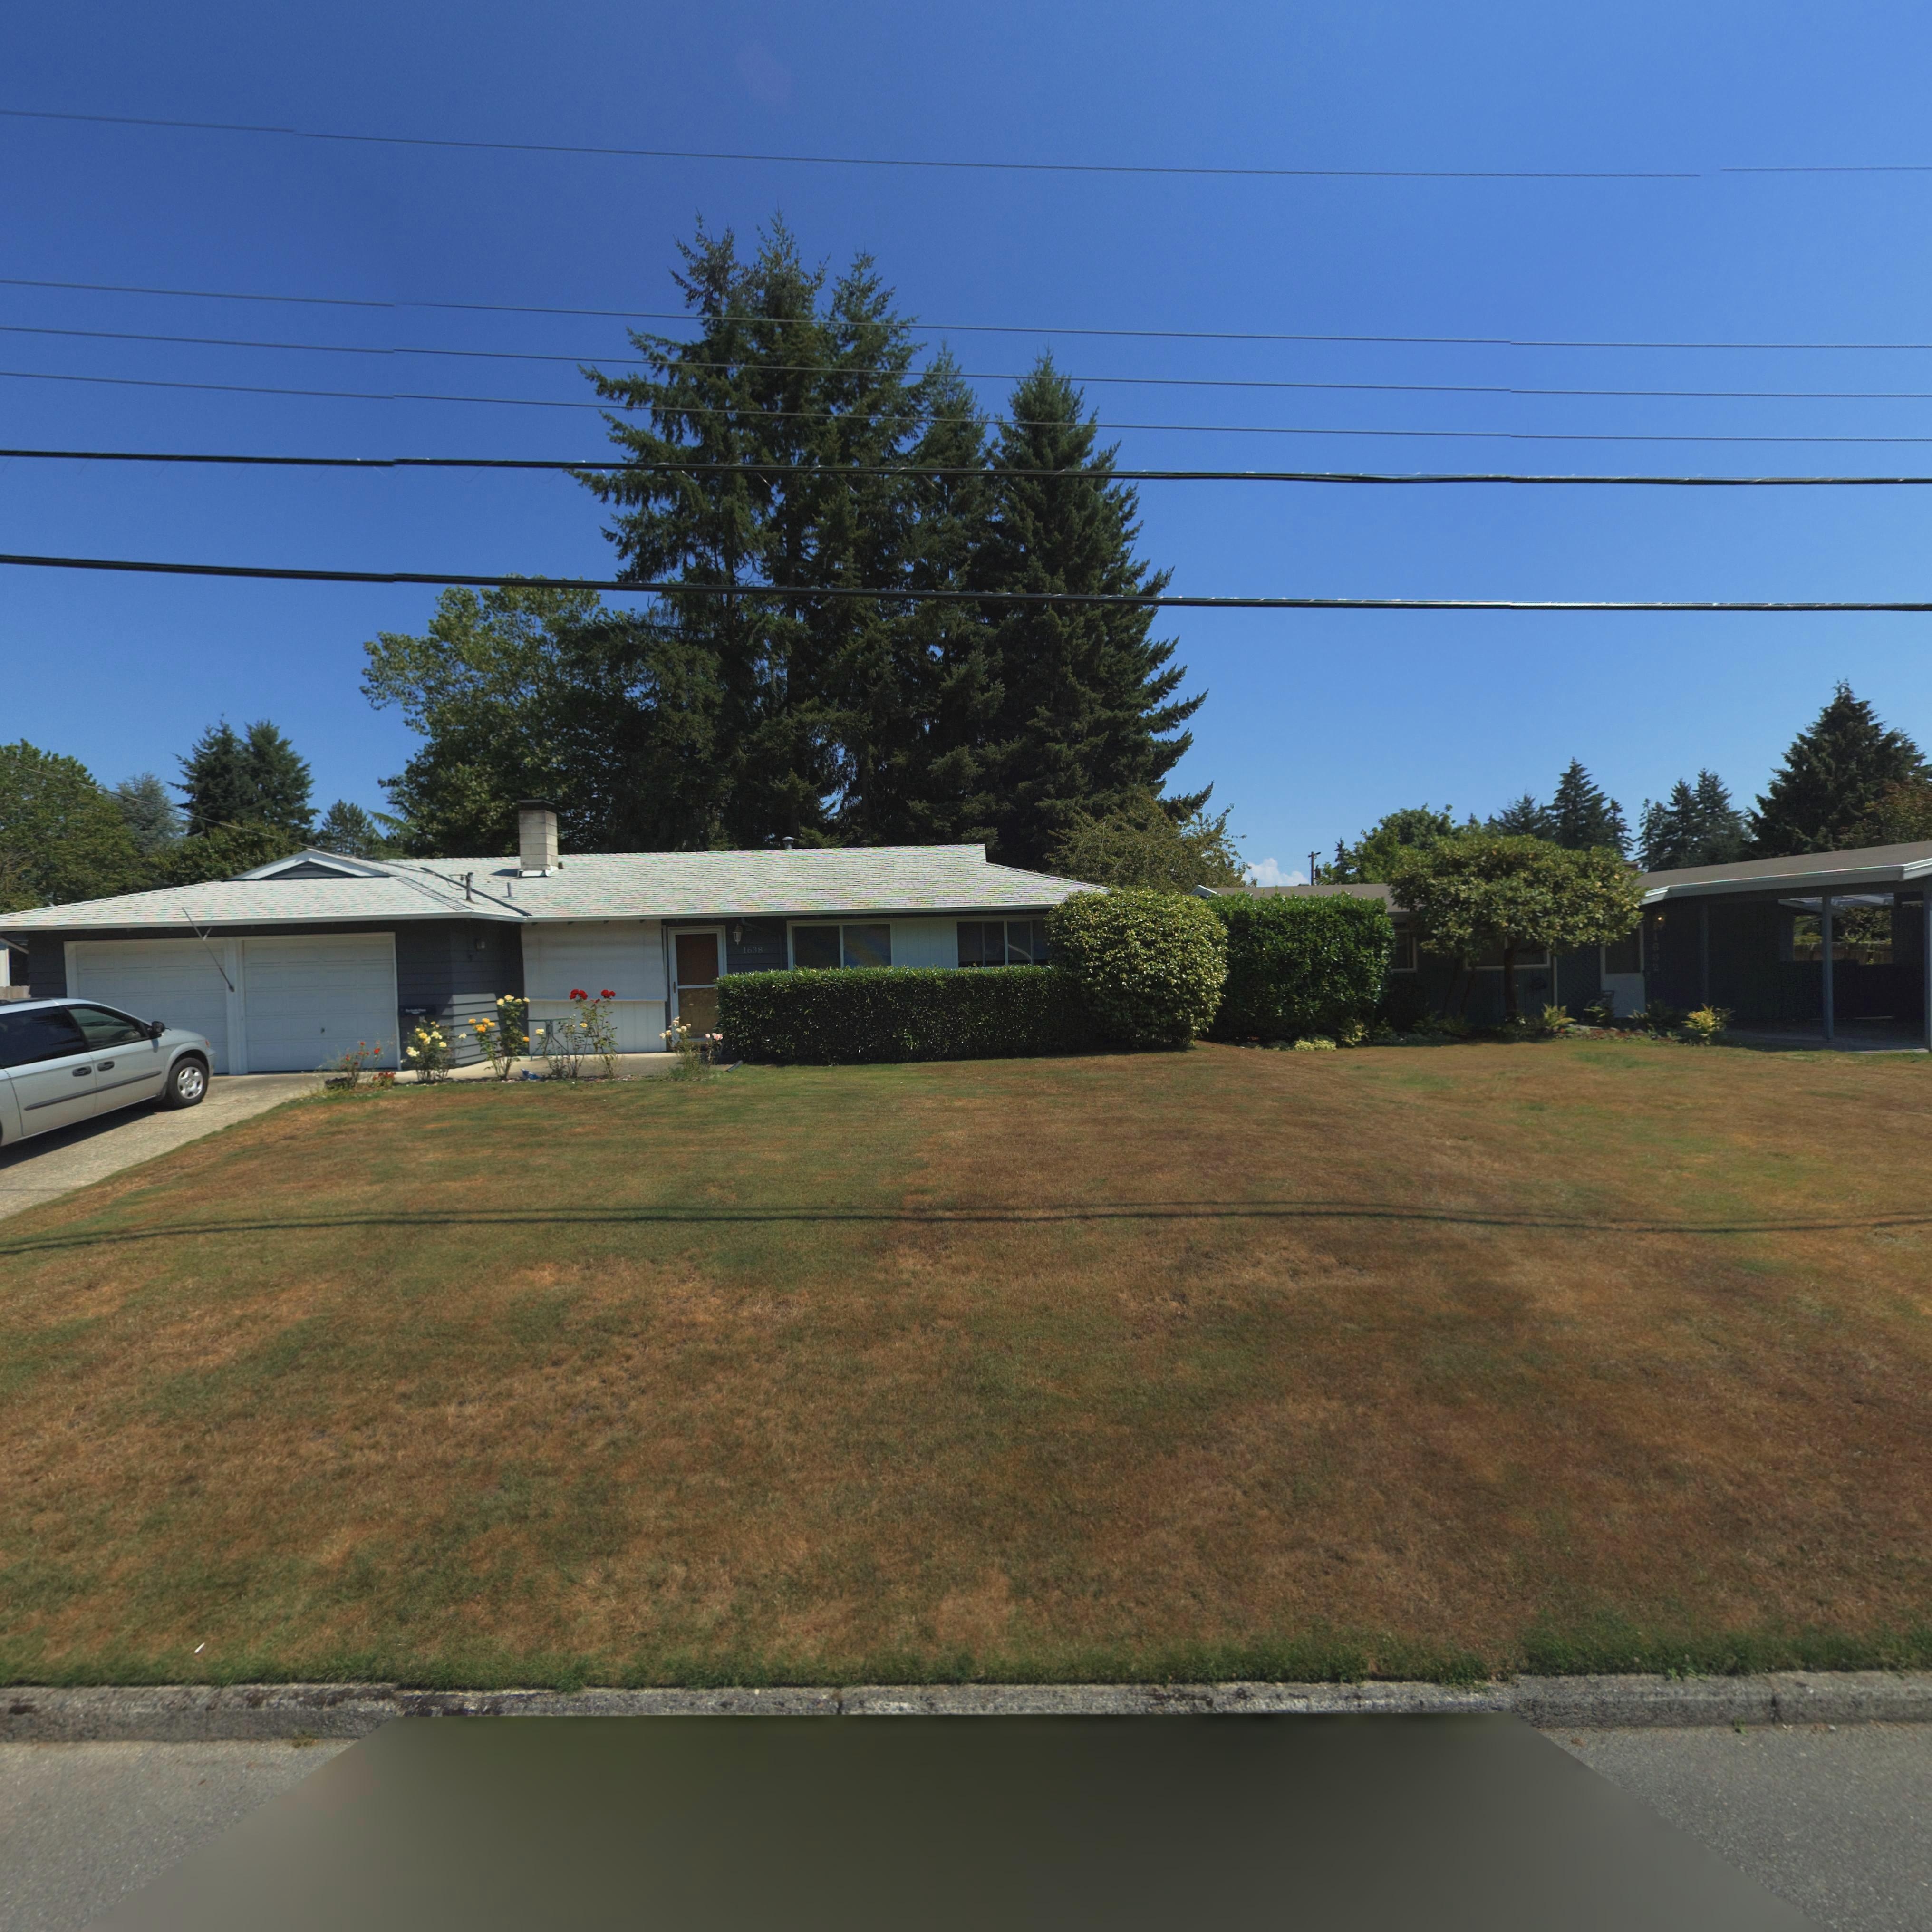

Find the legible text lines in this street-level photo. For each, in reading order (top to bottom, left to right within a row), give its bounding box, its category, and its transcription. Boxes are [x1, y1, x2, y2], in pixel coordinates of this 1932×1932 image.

[743, 945, 764, 955] StreetNumber: 1638